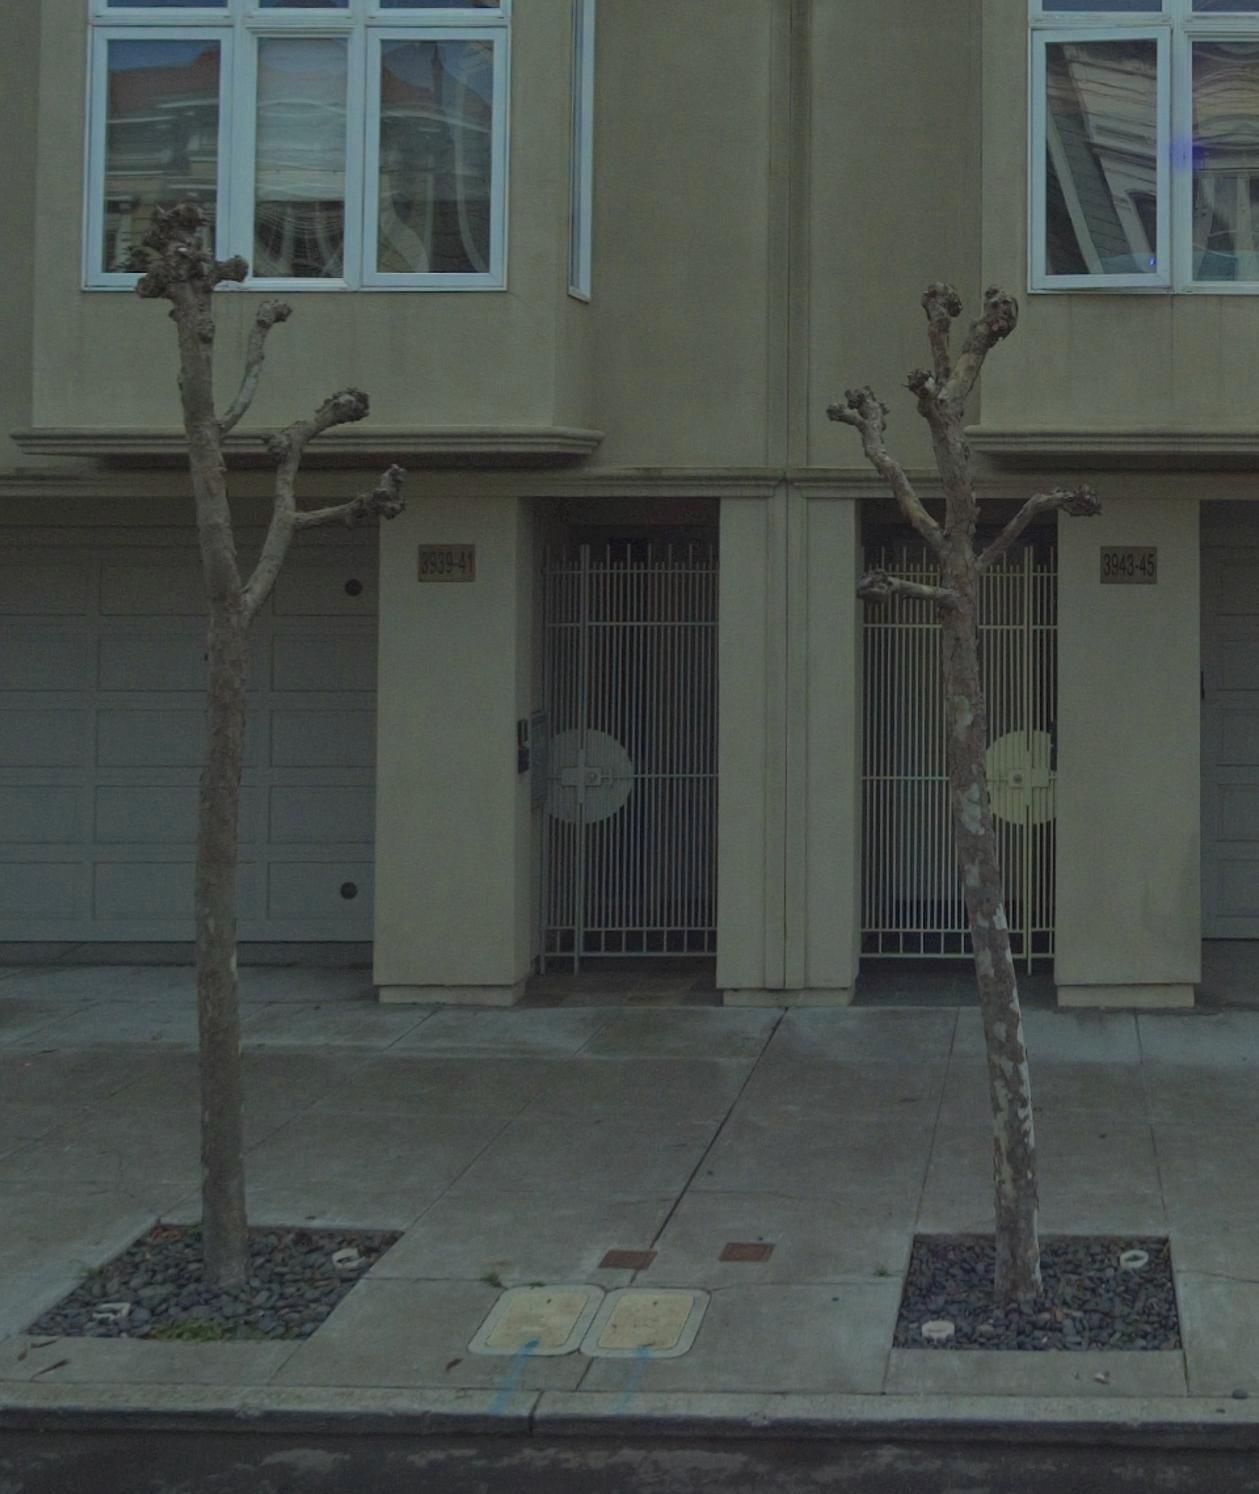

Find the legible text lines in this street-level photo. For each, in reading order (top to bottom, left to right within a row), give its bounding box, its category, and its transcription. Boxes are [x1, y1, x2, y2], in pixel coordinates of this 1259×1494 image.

[420, 550, 454, 575] StreetNumber: 3939-41
[456, 551, 474, 575] StreetNumber: 41
[1103, 552, 1134, 577] StreetNumber: 3943
[1138, 552, 1156, 577] StreetNumber: 45